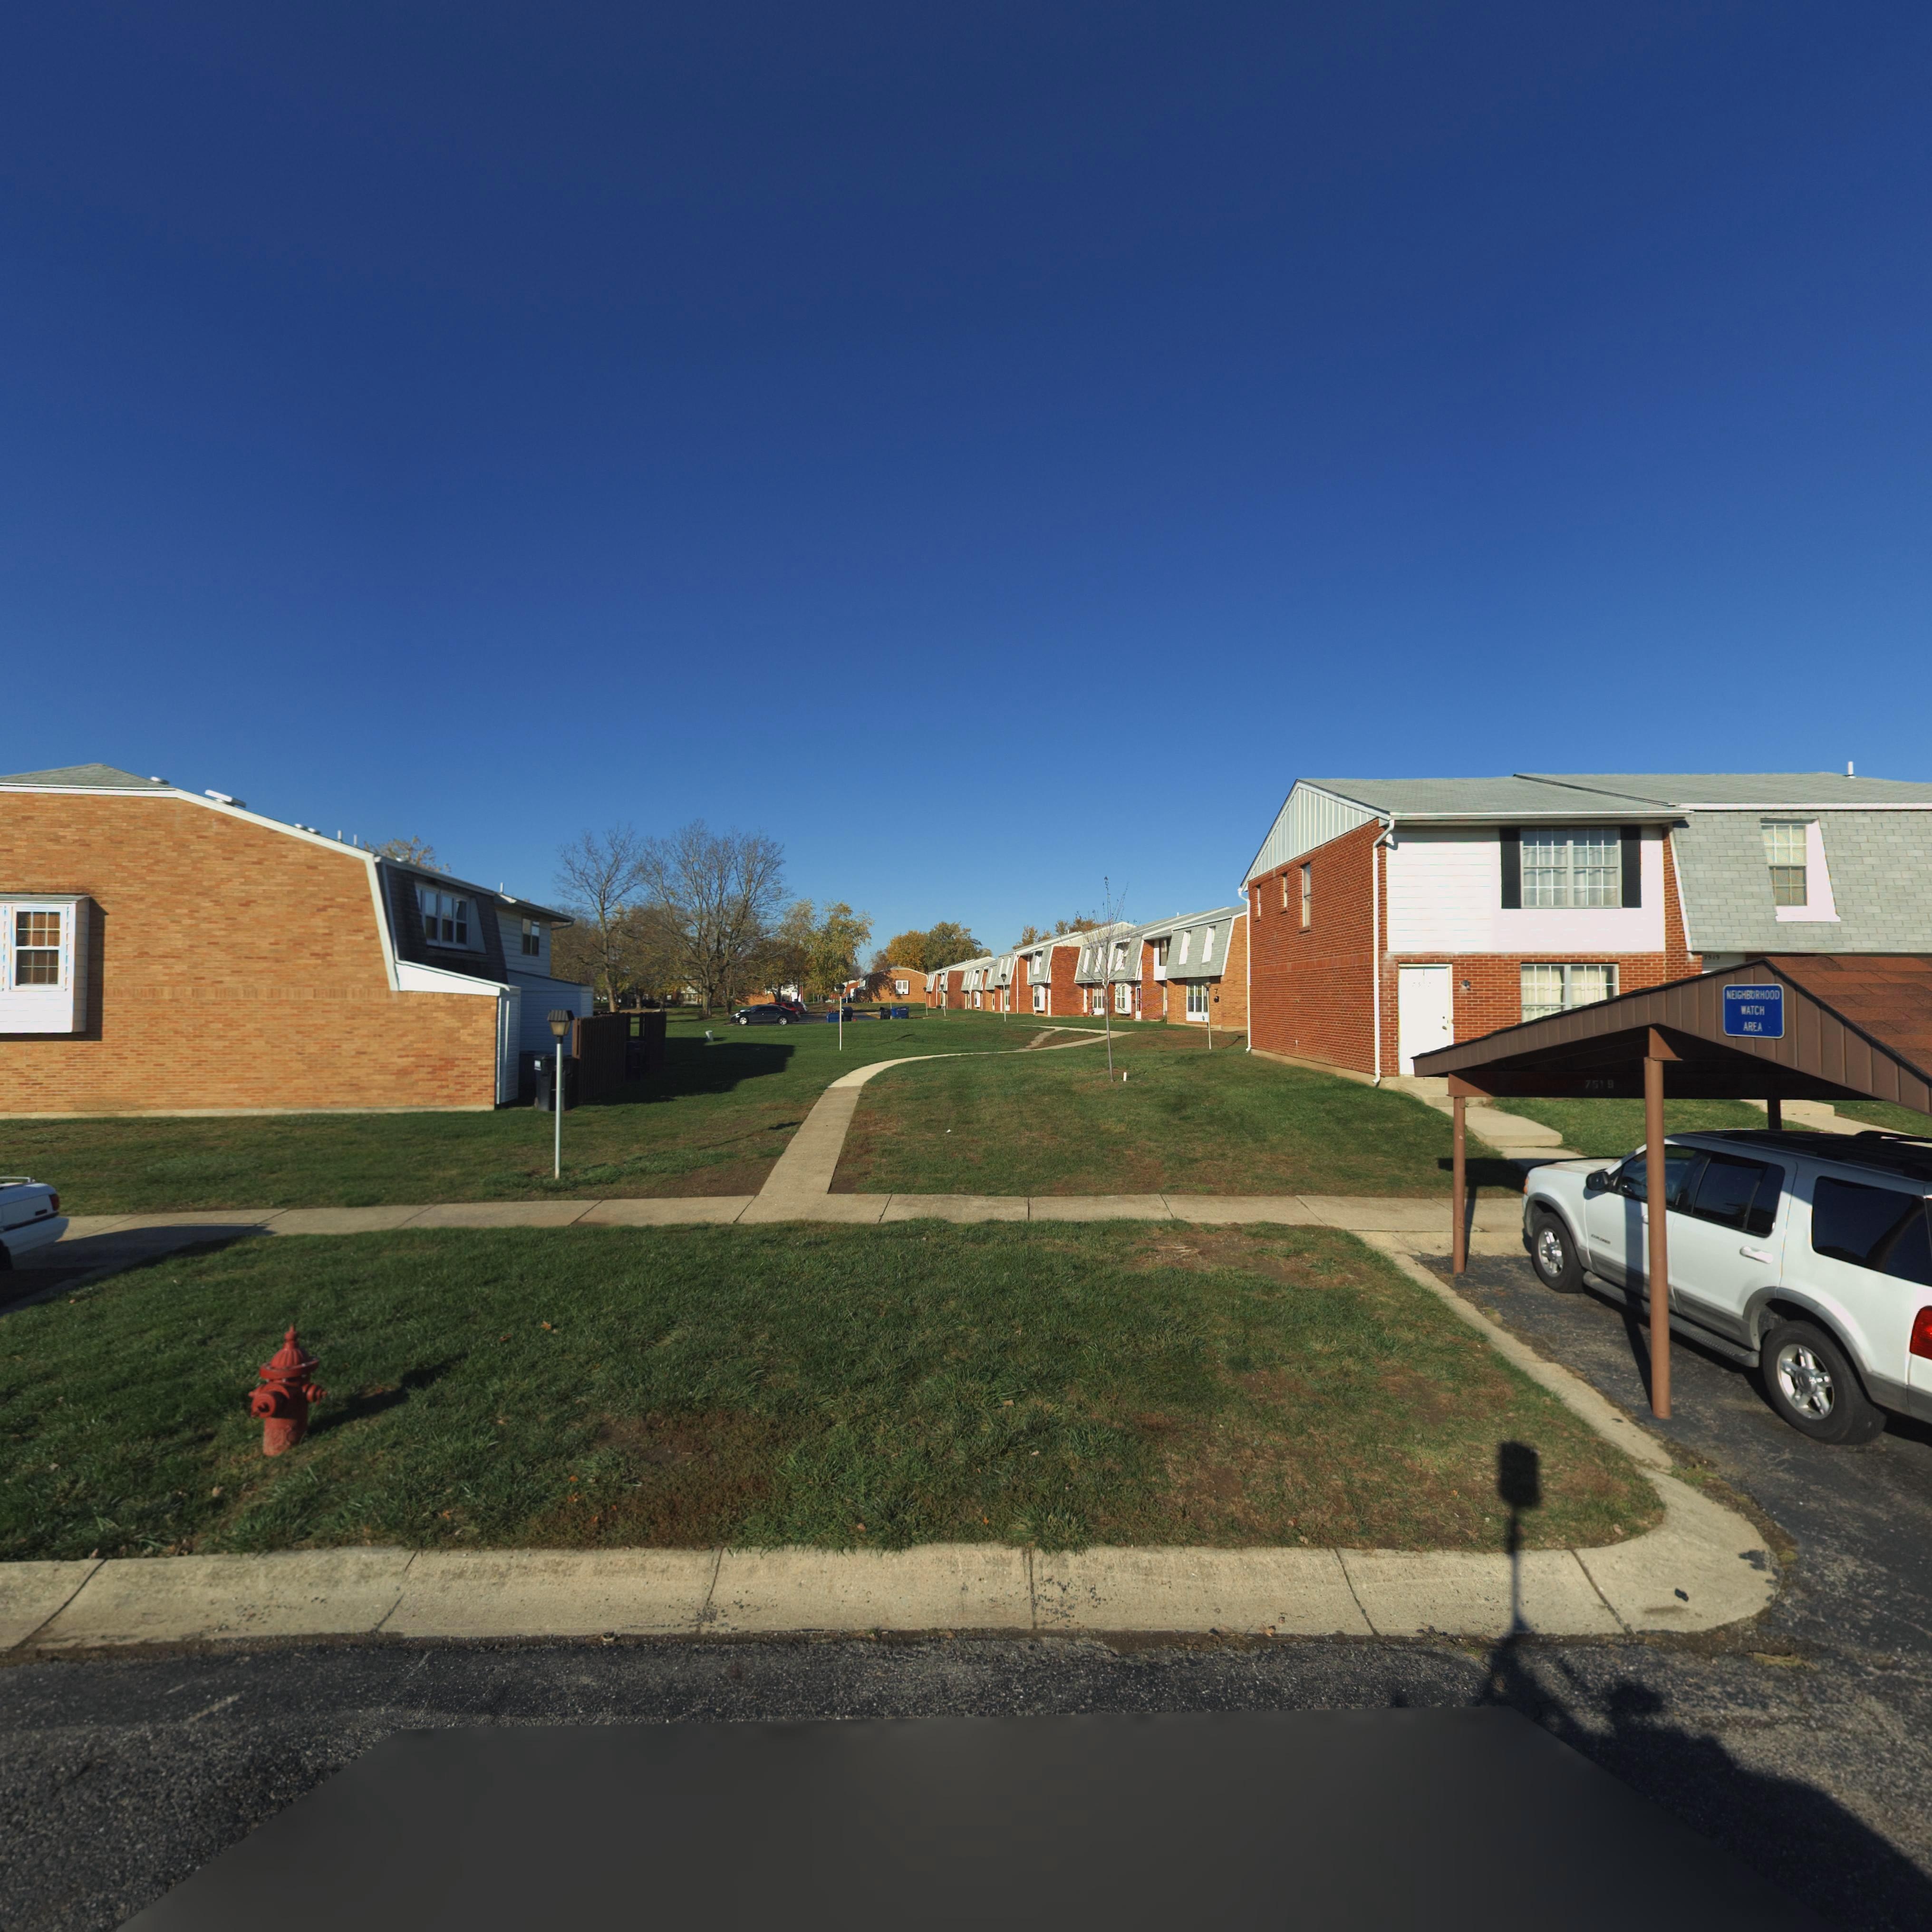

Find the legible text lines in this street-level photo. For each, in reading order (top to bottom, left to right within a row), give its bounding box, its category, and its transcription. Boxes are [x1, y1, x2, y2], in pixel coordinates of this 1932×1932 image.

[1411, 982, 1432, 987] StreetNumber: 75*7
[1584, 1079, 1614, 1089] StreetNumber: 7519